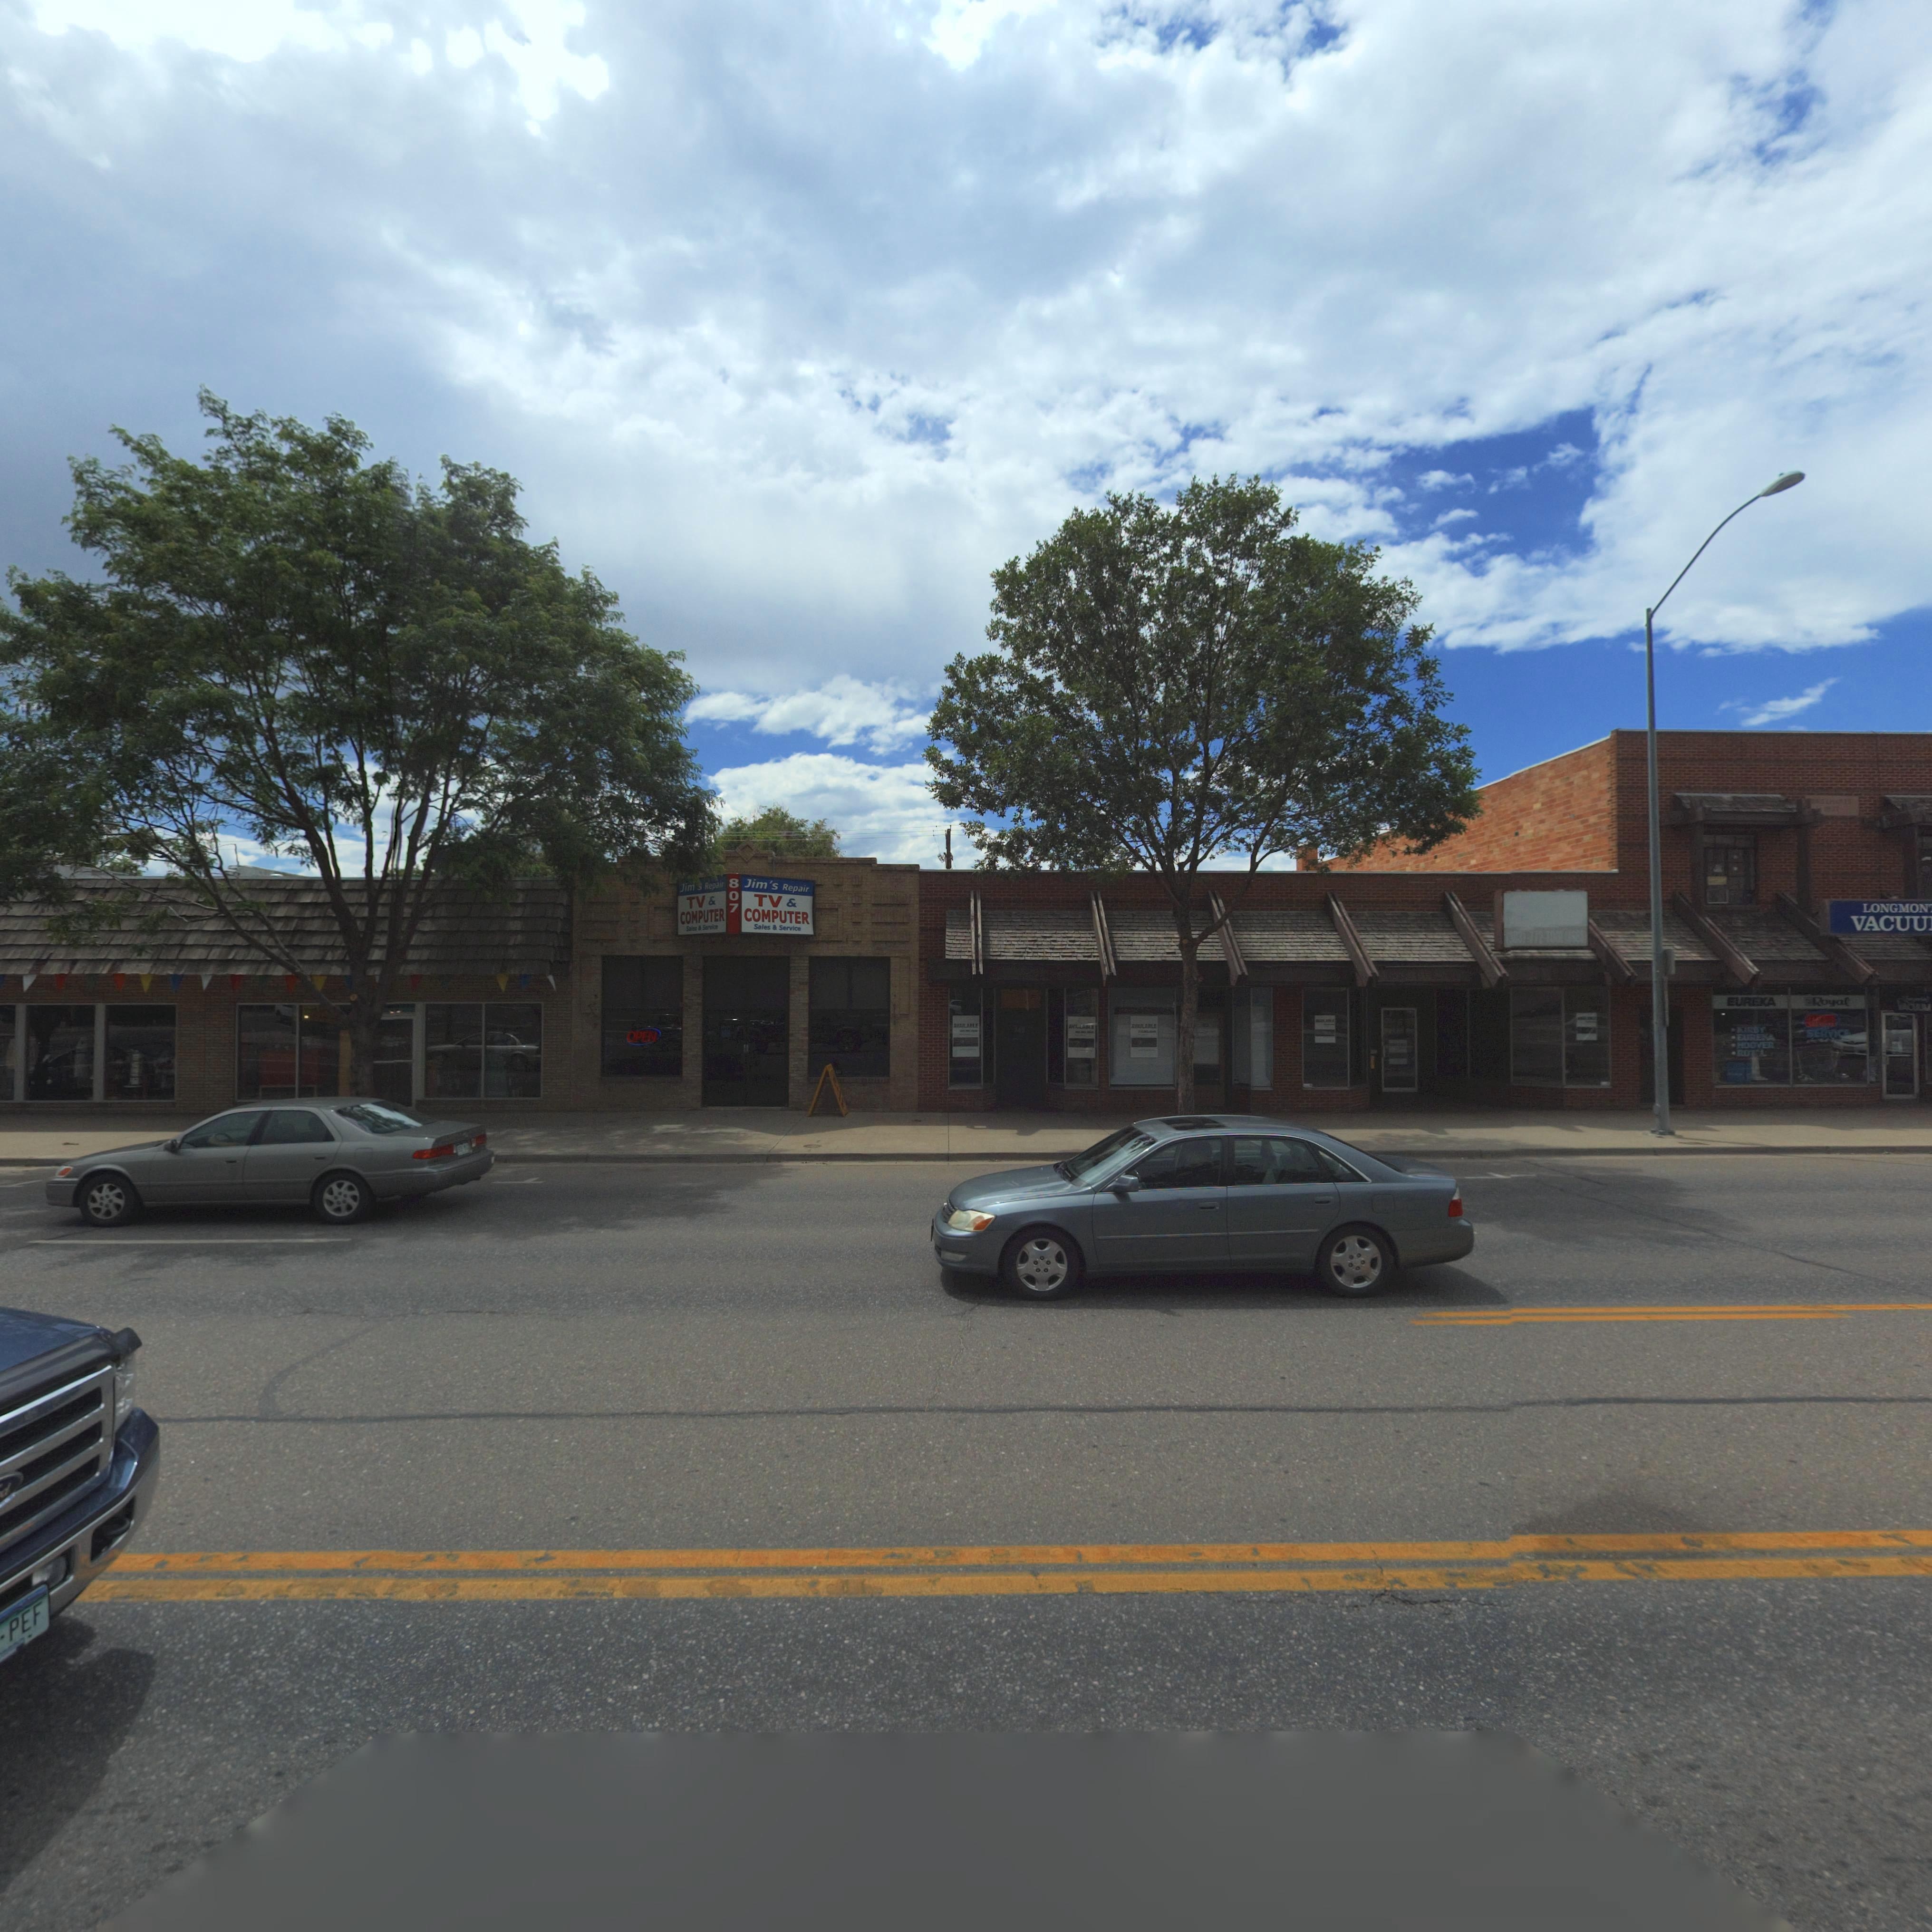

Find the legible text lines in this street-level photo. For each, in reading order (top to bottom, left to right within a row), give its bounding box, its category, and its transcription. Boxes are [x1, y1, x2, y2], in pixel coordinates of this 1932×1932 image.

[679, 879, 724, 892] BusinessName: Jim** Repair
[744, 879, 810, 893] BusinessName: Jim's Repair
[686, 895, 715, 909] BusinessName: TV &
[1862, 903, 1928, 912] BusinessName: LONGMON
[680, 908, 724, 925] BusinessName: COMPUTER
[686, 923, 718, 931] BusinessName: Sales & Service
[744, 908, 810, 924] BusinessName: COMPUTER
[753, 924, 801, 931] BusinessName: Sales & Service
[1849, 915, 1928, 931] BusinessName: VACUU
[1897, 1003, 1931, 1011] BusinessName: VACUUM